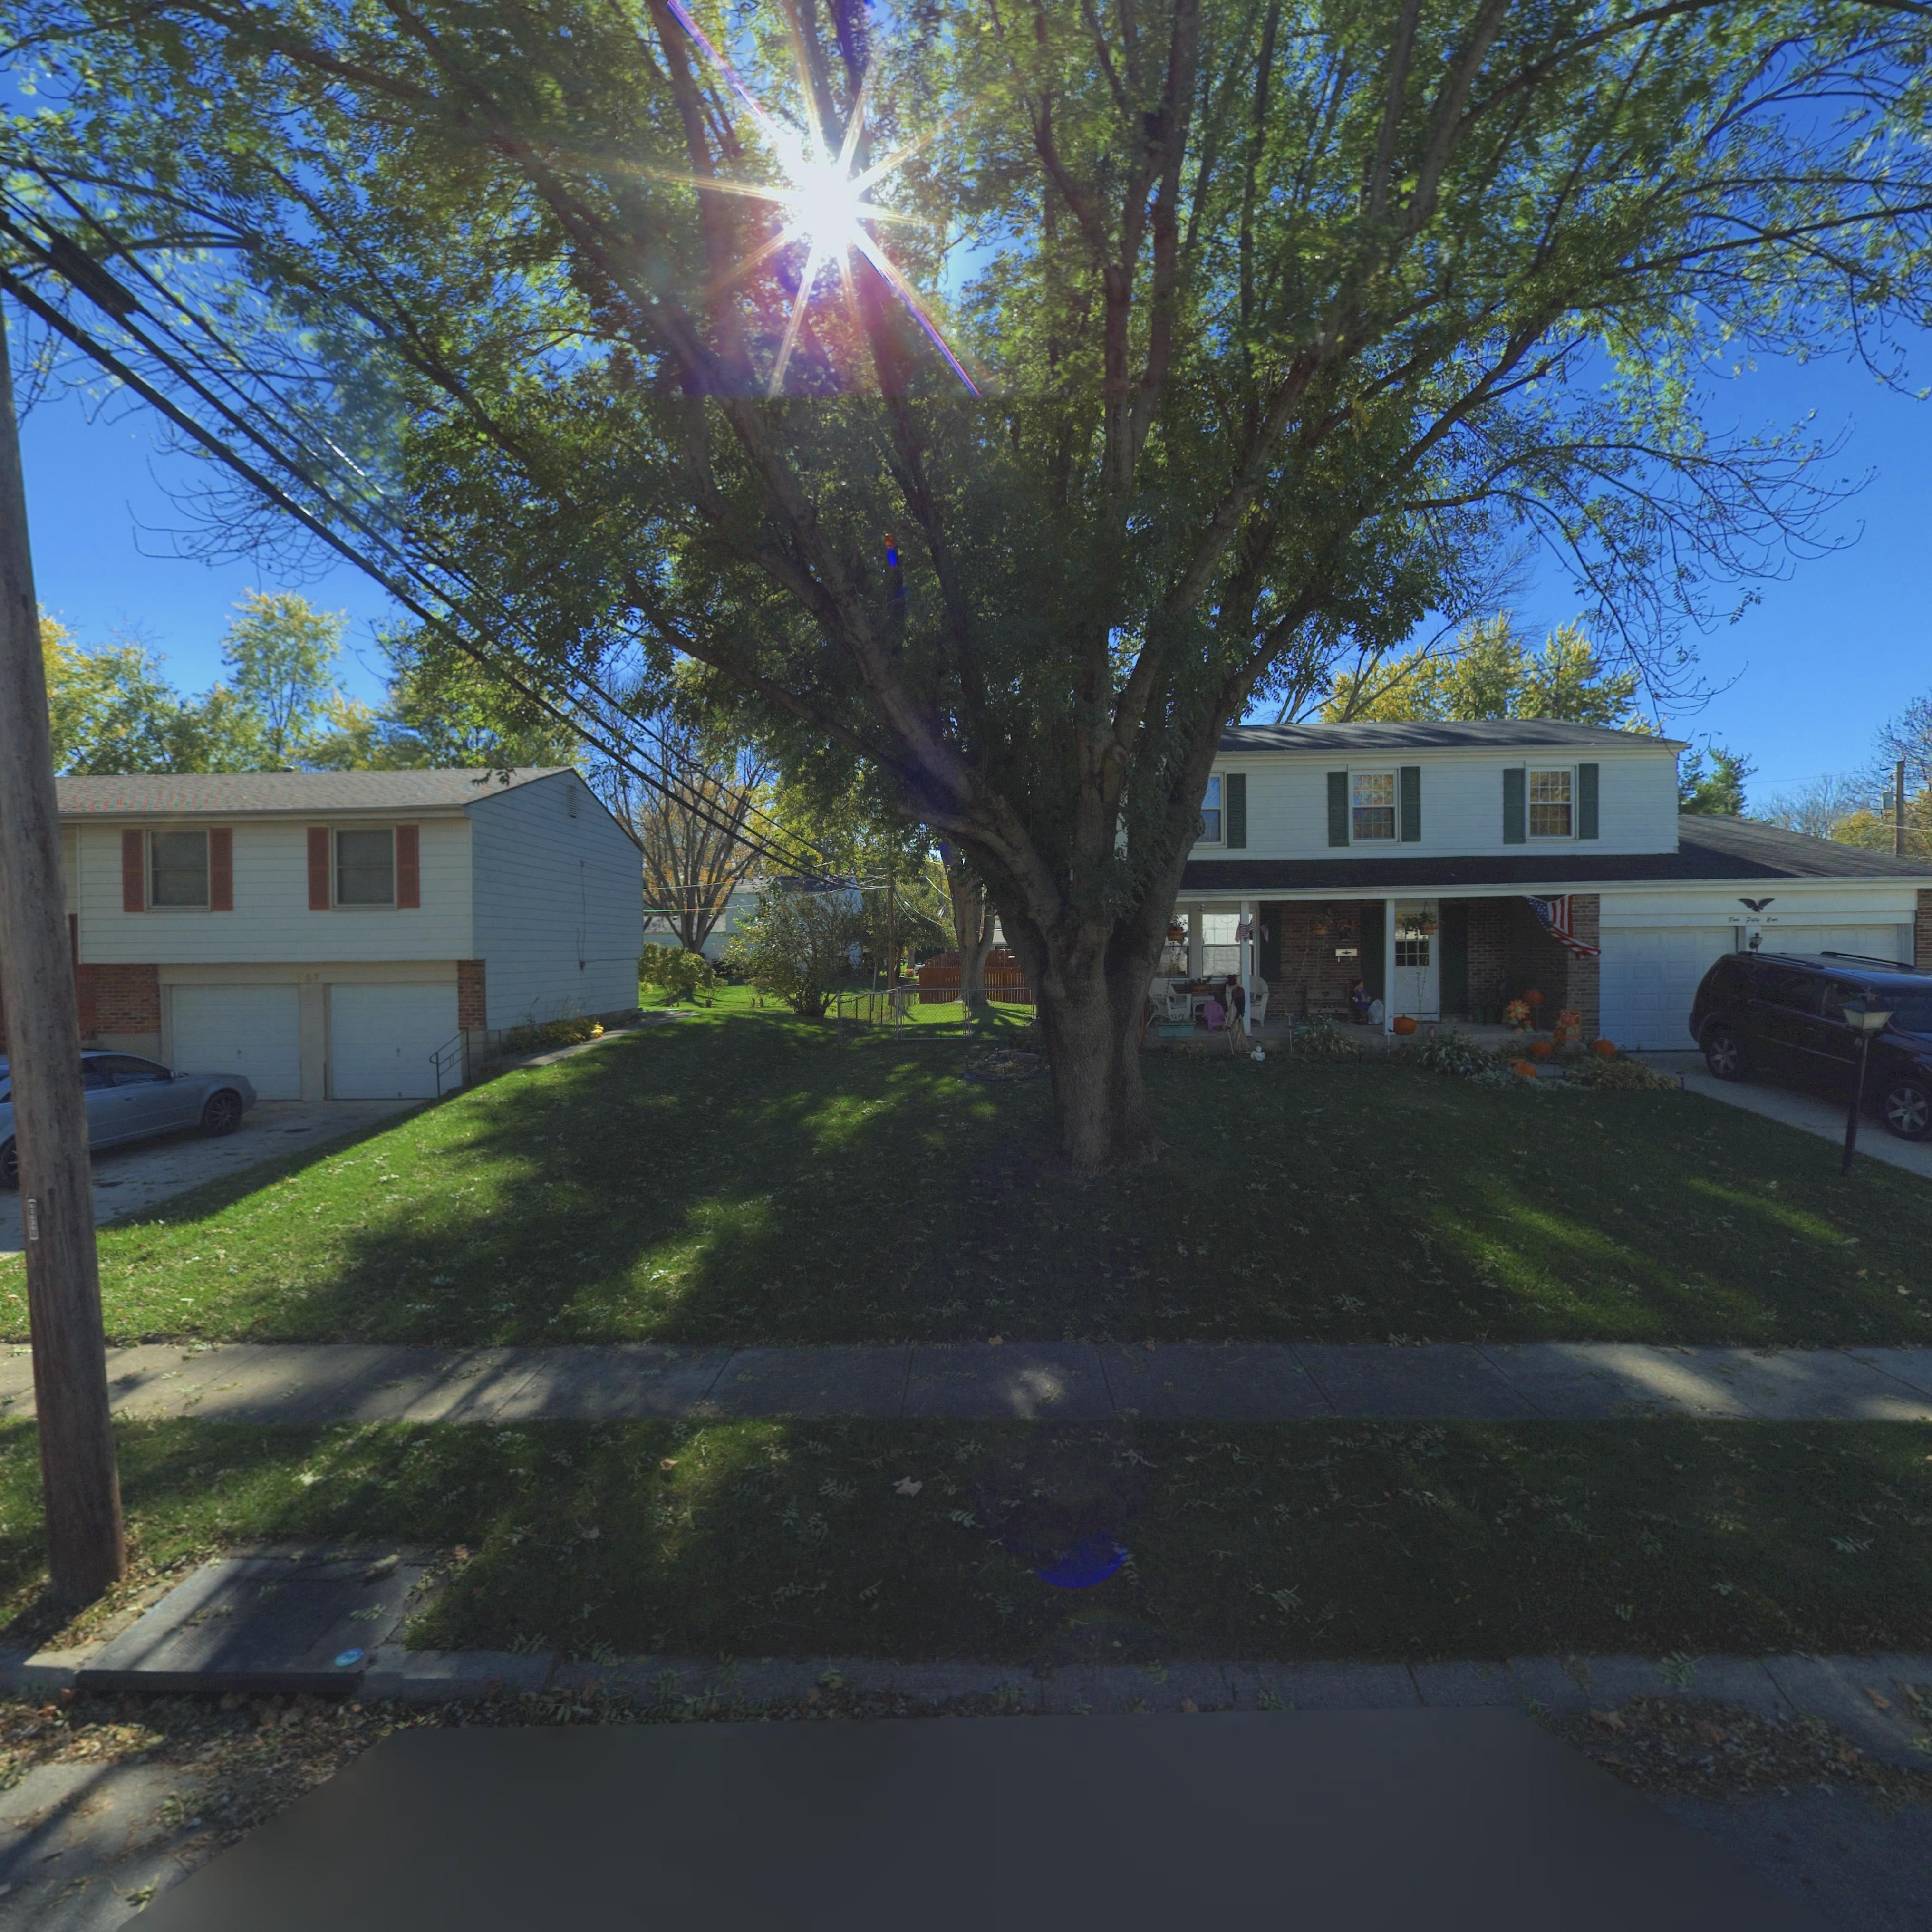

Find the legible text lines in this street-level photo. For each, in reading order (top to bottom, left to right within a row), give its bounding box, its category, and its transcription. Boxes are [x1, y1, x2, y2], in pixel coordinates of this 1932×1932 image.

[297, 972, 320, 984] StreetNumber: 267